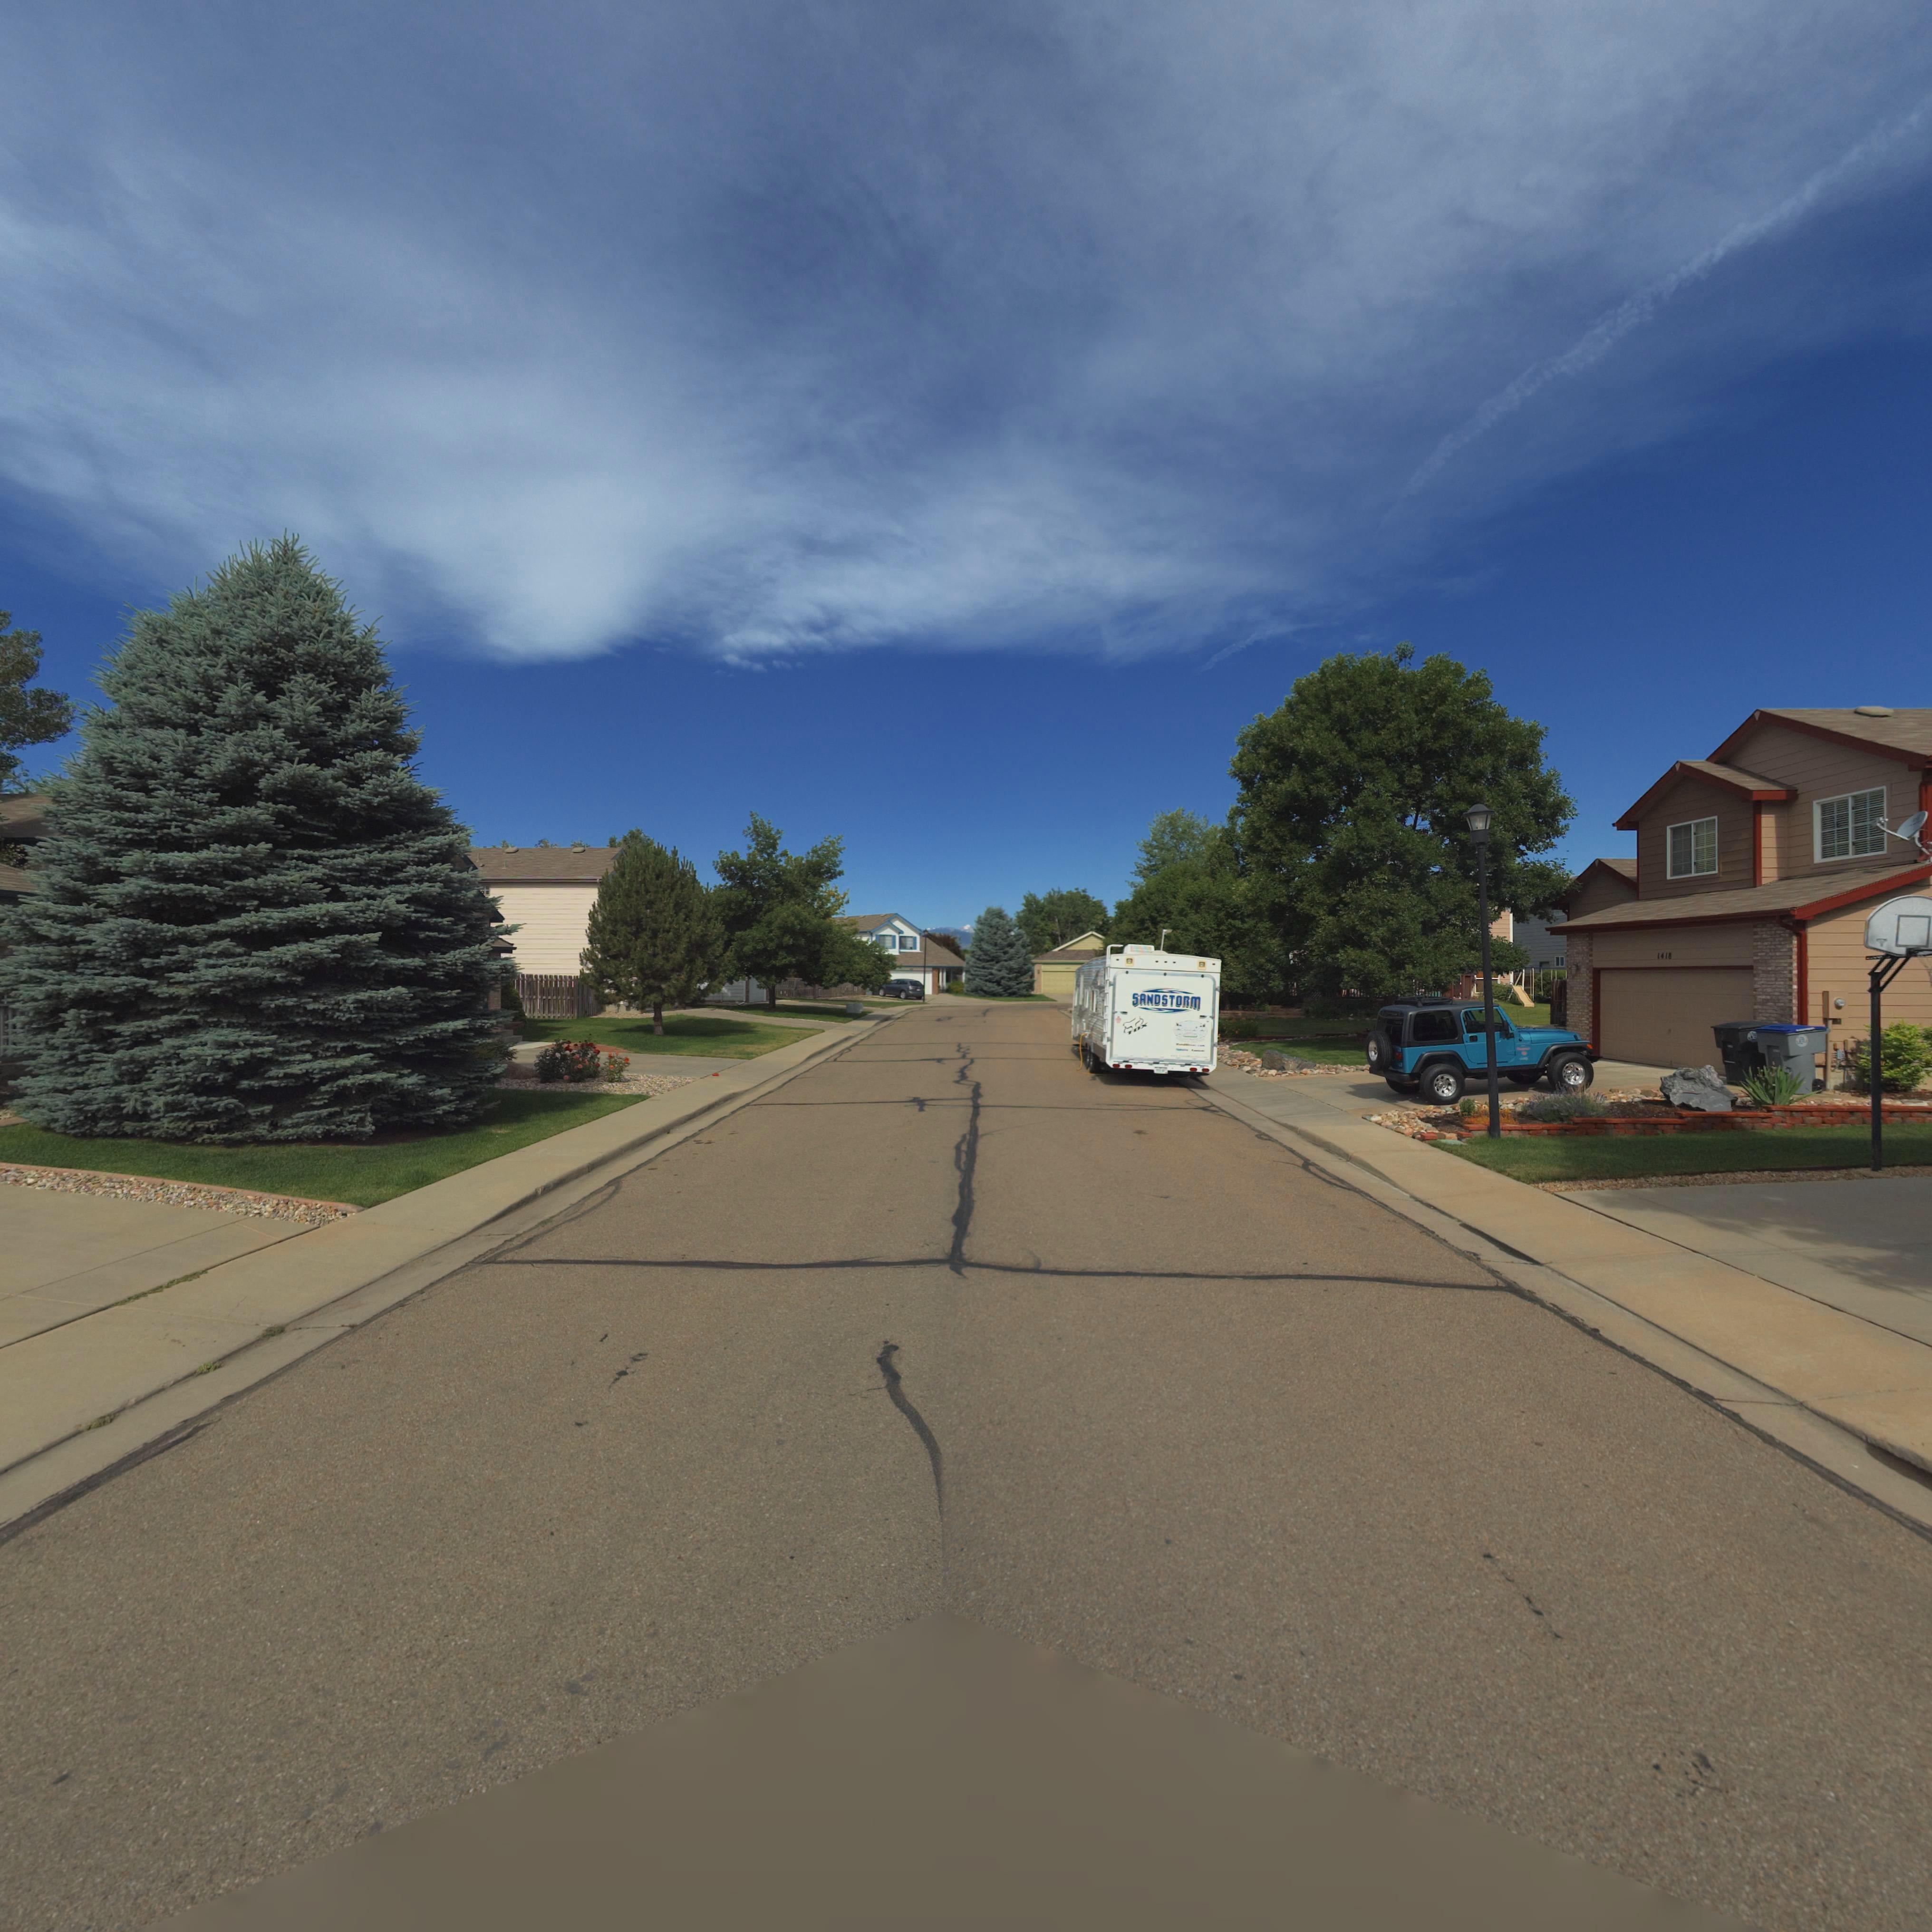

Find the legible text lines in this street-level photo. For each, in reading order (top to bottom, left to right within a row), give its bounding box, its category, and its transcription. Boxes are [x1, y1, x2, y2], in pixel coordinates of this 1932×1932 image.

[1657, 952, 1672, 959] StreetNumber: 1418